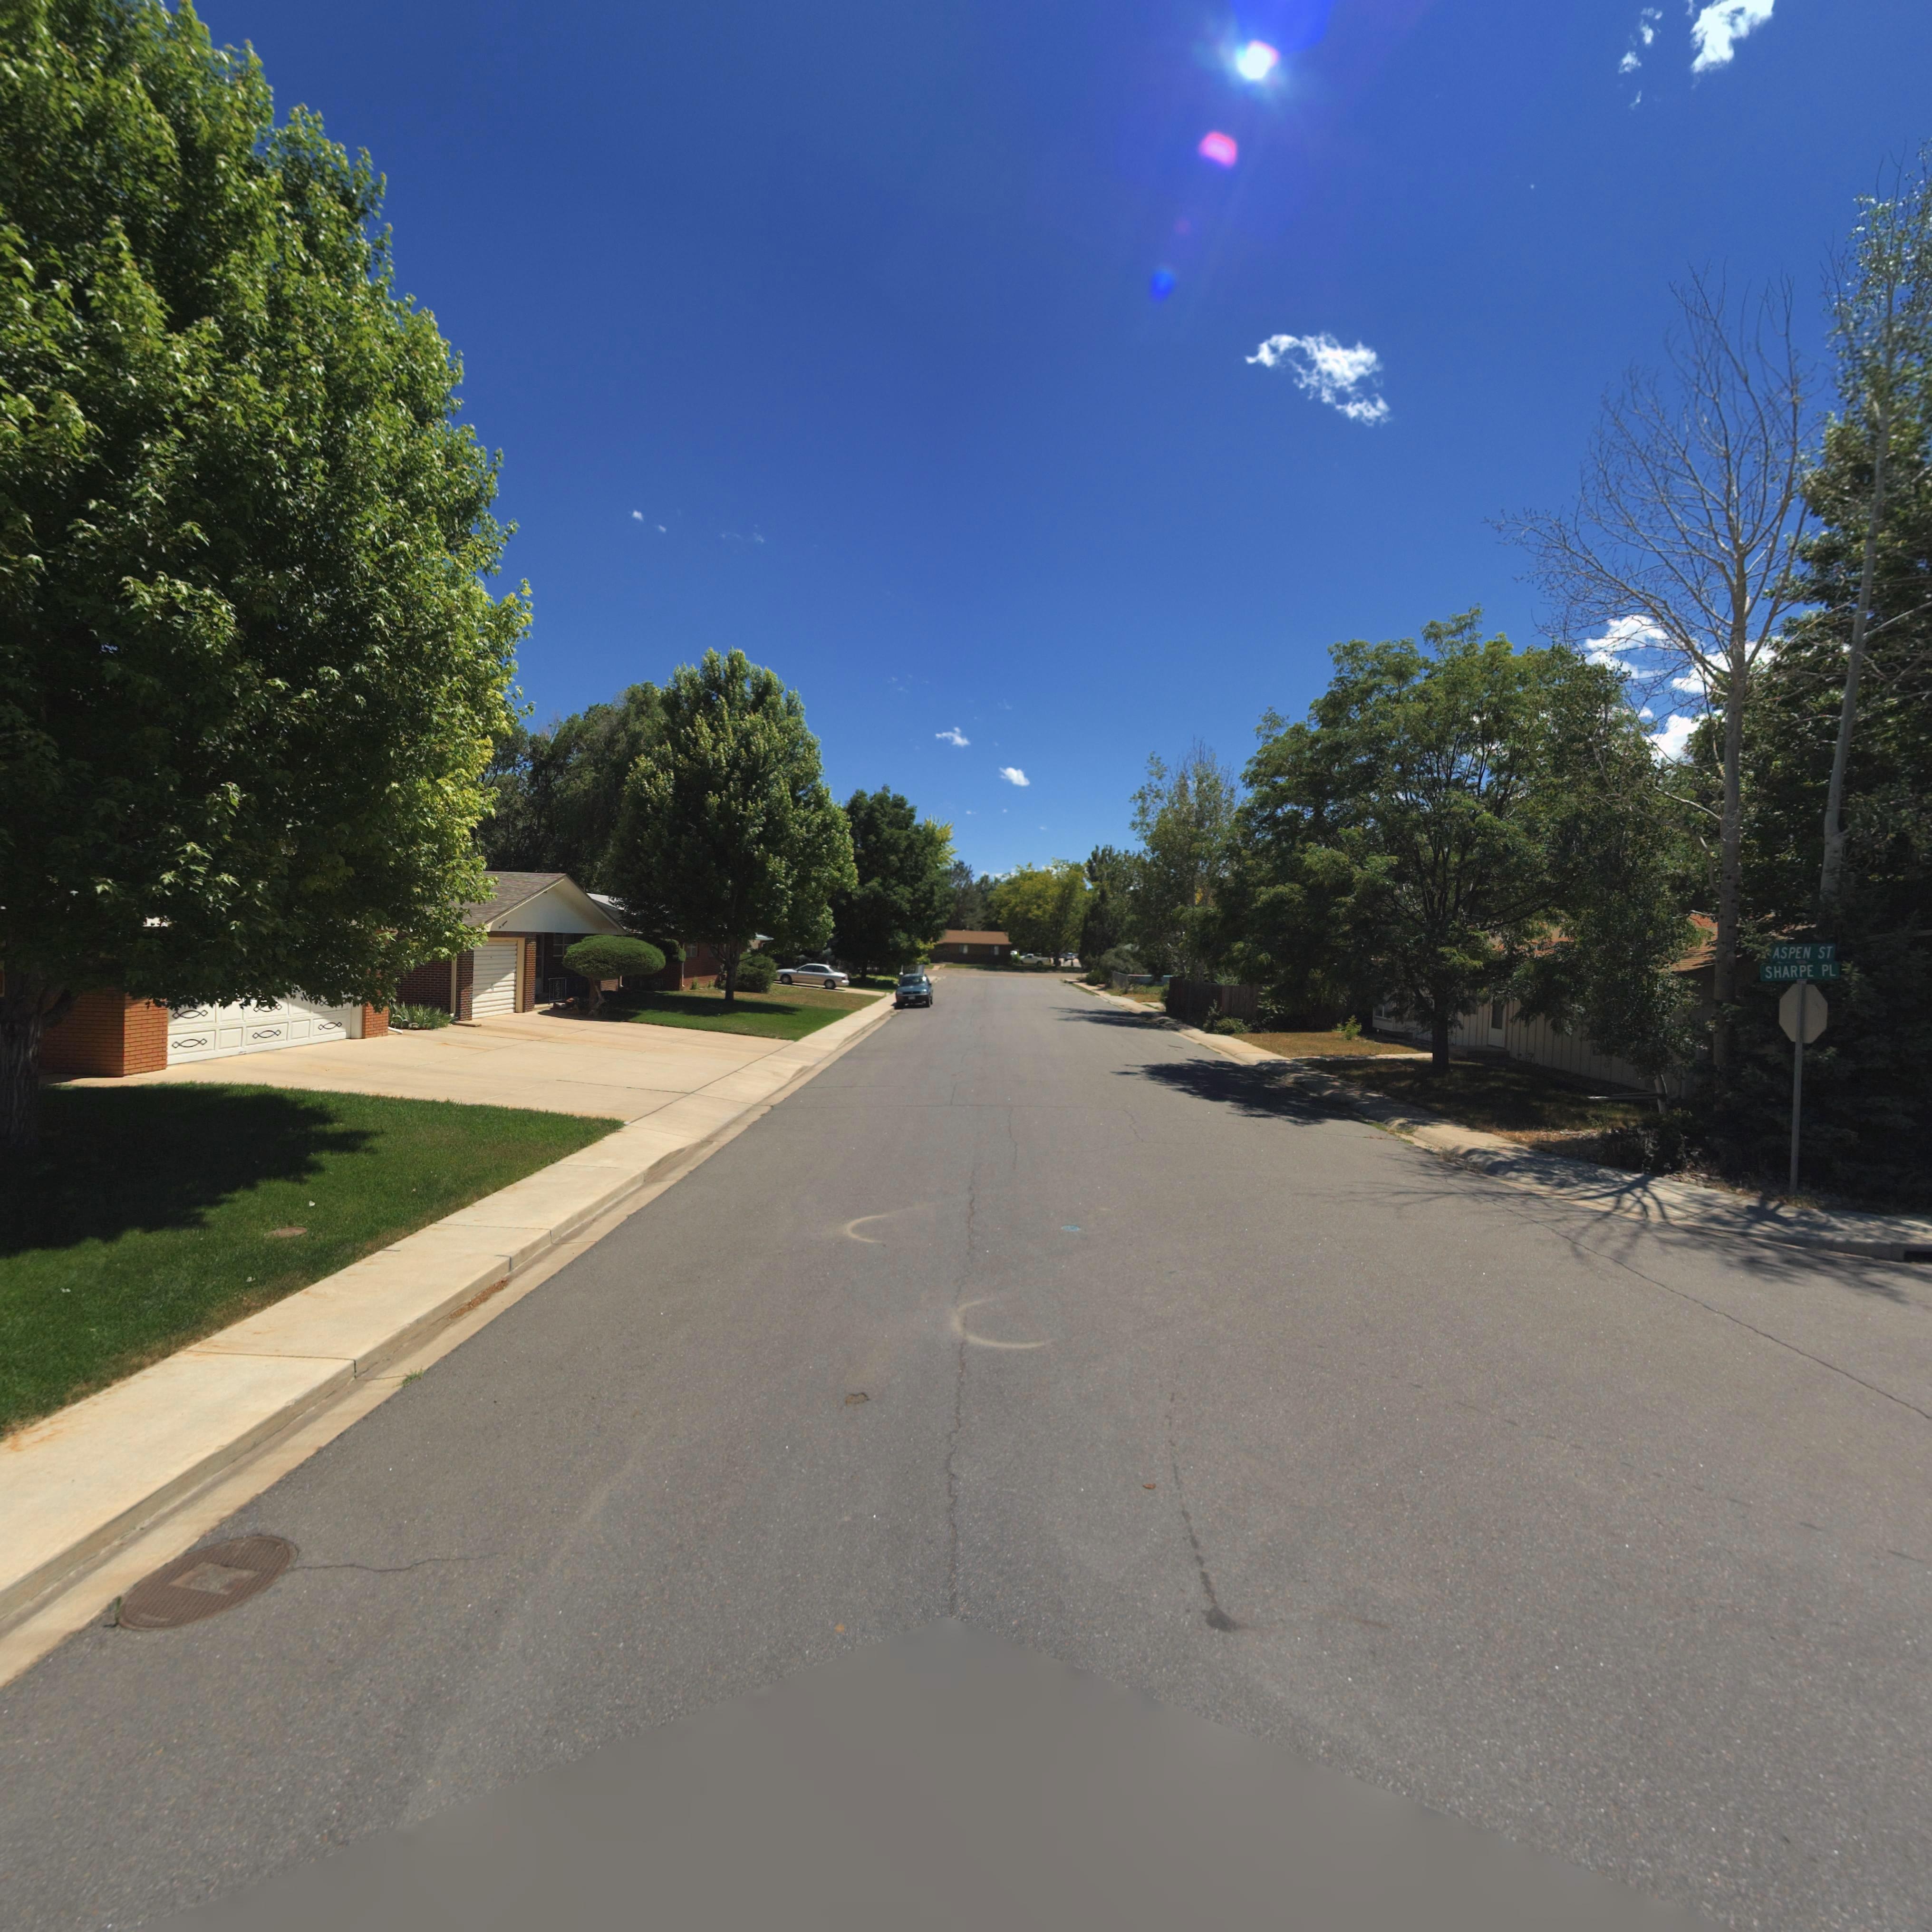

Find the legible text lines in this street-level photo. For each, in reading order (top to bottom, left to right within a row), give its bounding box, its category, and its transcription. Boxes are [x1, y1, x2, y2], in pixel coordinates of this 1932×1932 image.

[1772, 946, 1833, 958] StreetName: ASPEN ST
[1766, 964, 1836, 978] StreetName: SHARPE PL